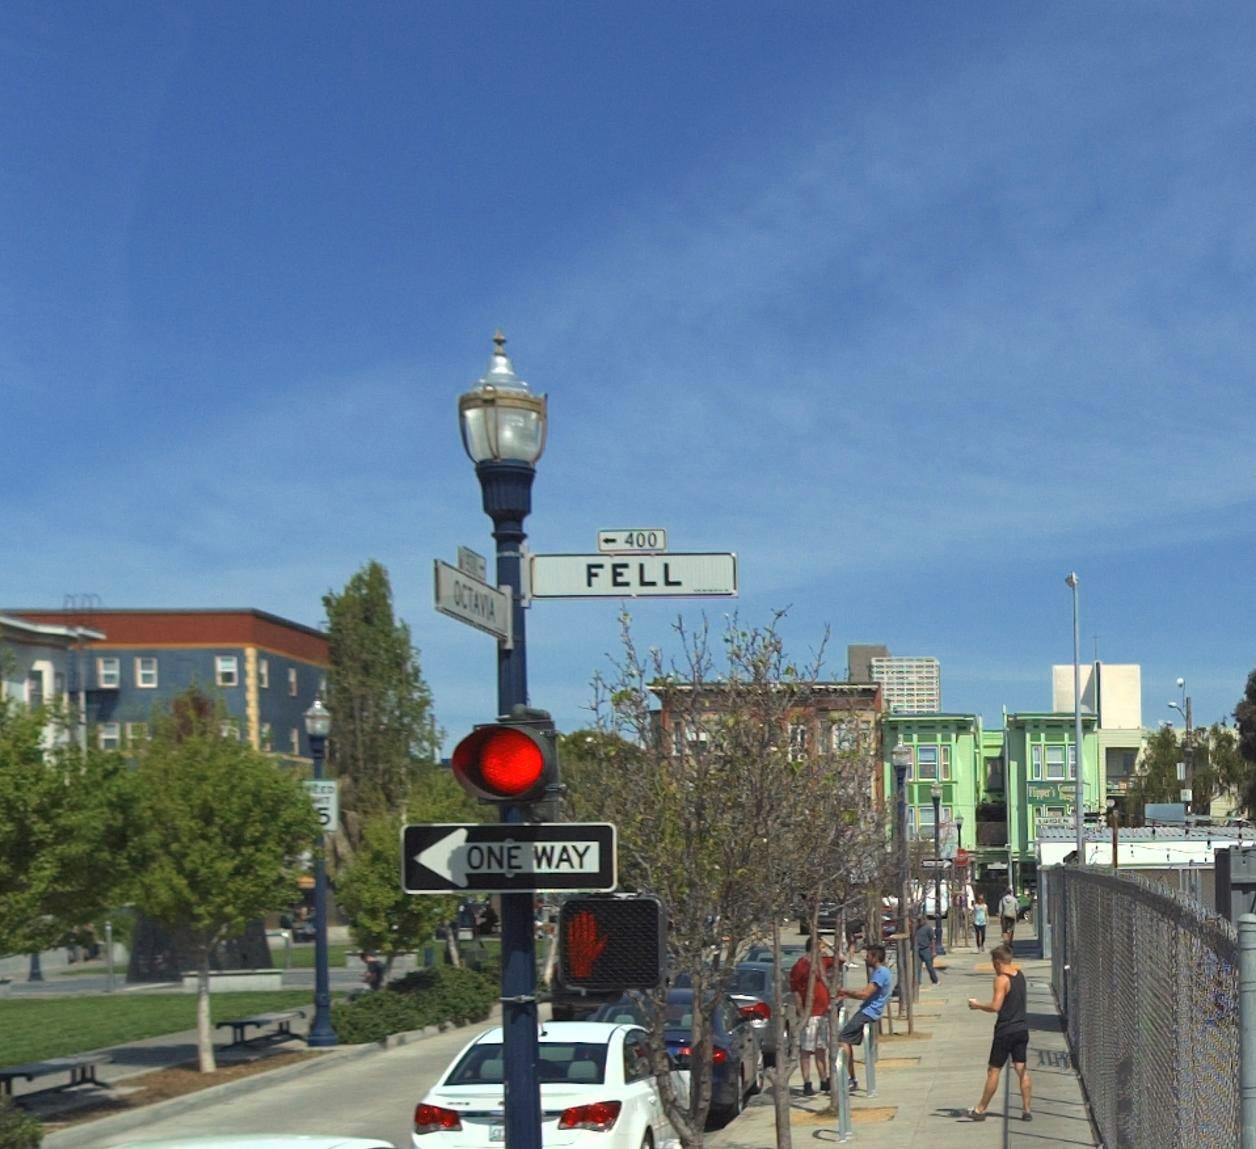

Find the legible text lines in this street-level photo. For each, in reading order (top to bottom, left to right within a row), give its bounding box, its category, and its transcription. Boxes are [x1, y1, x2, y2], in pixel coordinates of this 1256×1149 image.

[598, 527, 661, 548] StreetNumberRange: <-400
[582, 557, 681, 590] StreetName: FELL
[451, 576, 497, 626] StreetName: OCTAVIA
[465, 840, 592, 871] None: ONE WAY